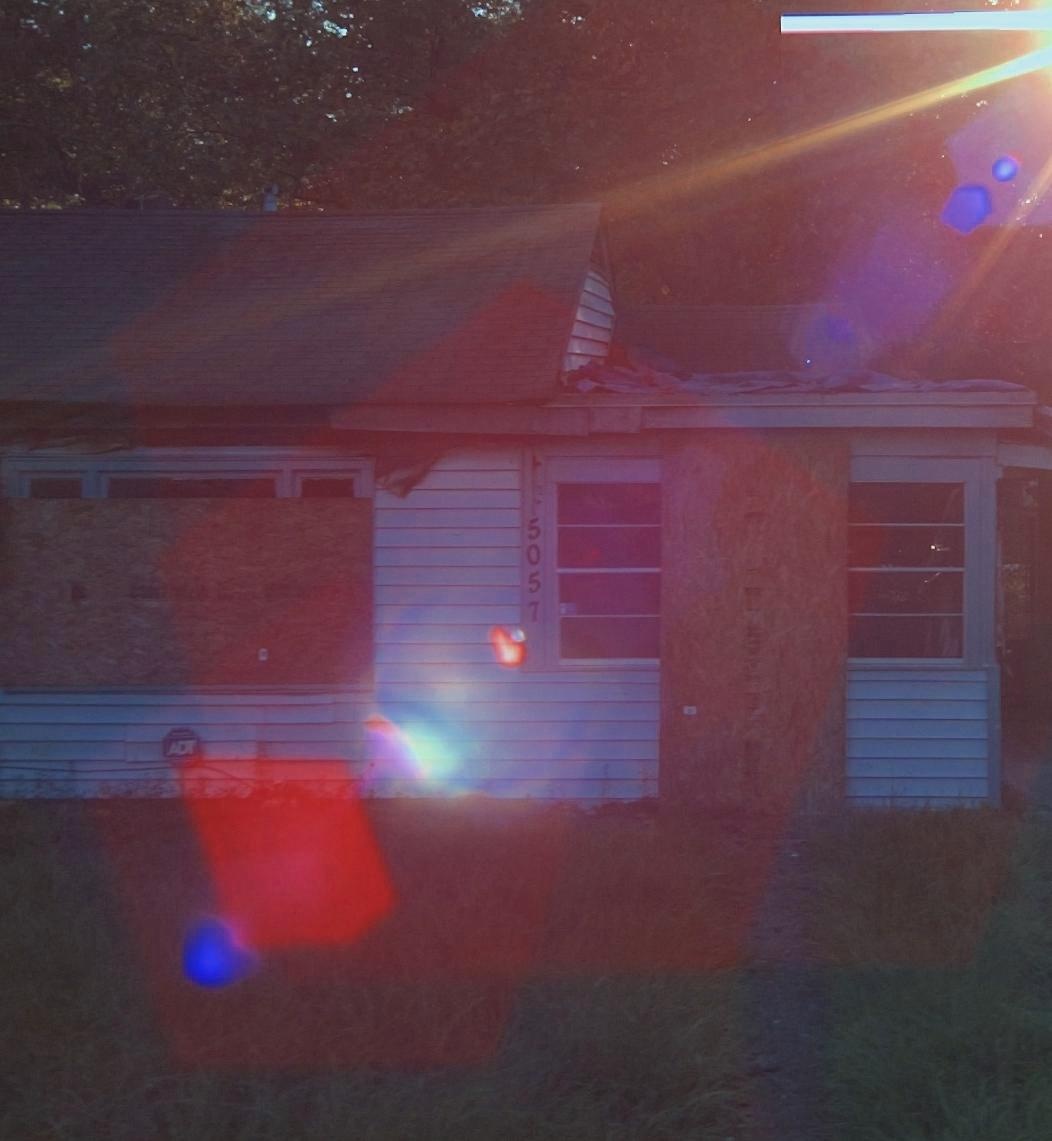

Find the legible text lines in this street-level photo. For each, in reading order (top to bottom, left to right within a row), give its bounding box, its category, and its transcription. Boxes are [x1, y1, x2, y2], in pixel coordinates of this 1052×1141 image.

[525, 516, 543, 624] StreetNumber: 5057
[166, 739, 199, 755] None: ADT